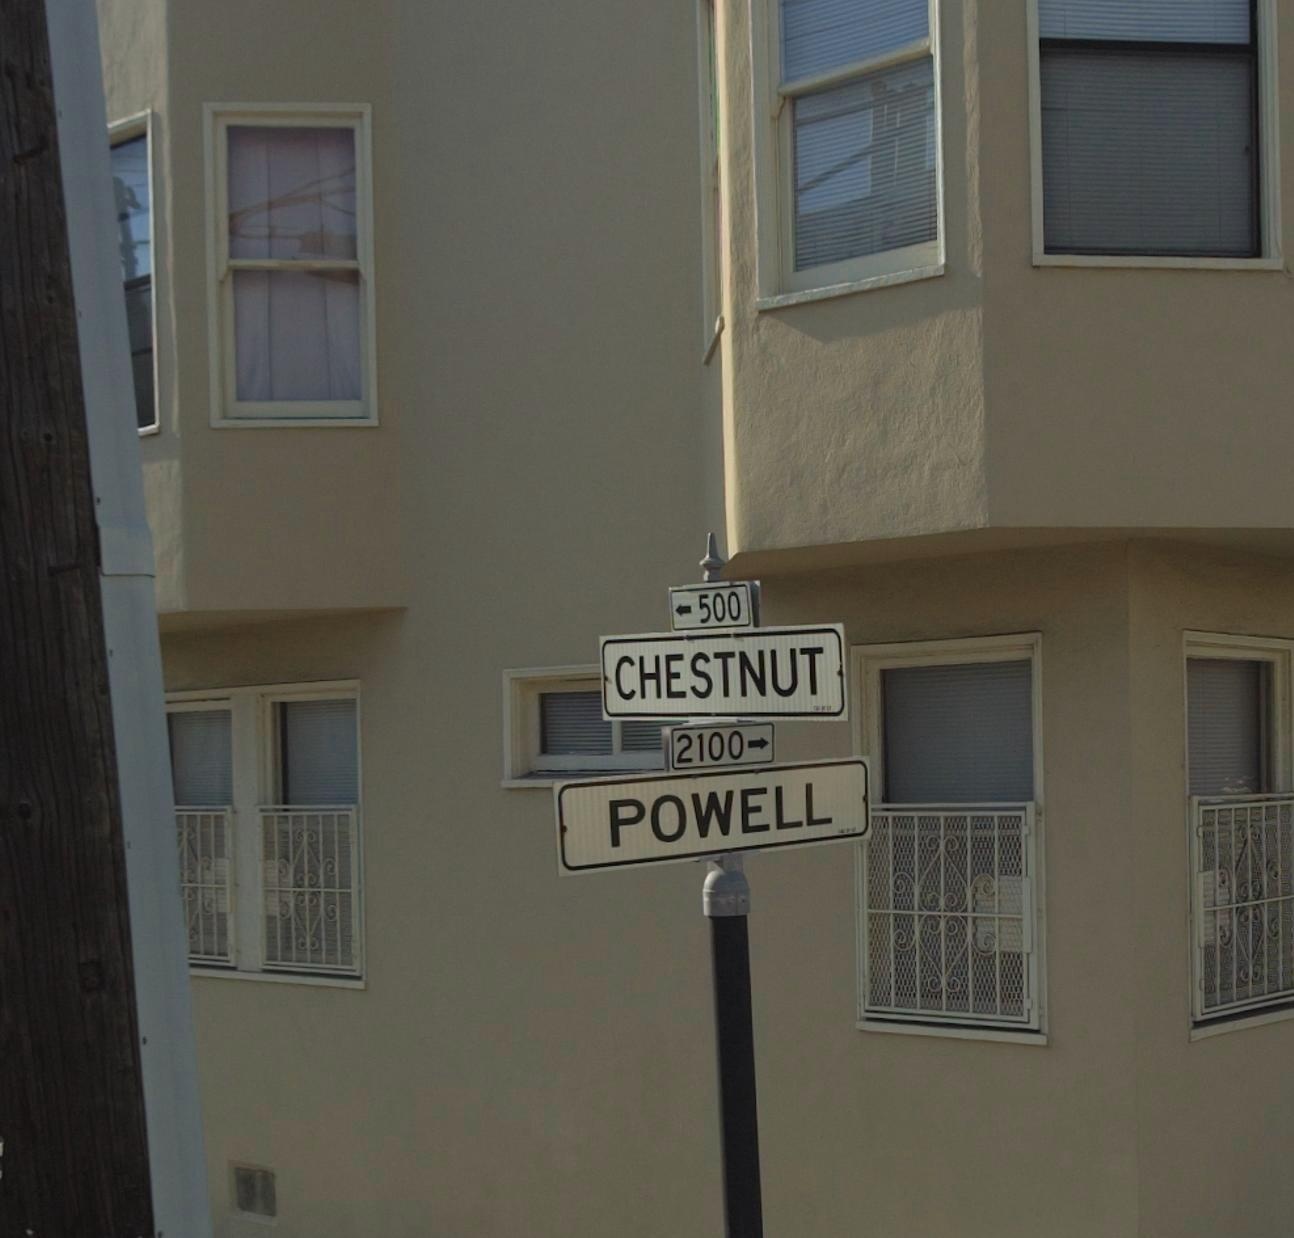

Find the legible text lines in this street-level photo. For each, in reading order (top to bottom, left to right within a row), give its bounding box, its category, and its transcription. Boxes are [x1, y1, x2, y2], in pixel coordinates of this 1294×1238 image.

[672, 587, 744, 627] StreetNumber: <-500
[611, 642, 828, 706] StreetName: CHESTNUT
[673, 726, 774, 767] StreetNumber: 2100->
[604, 778, 838, 854] StreetName: POWELL